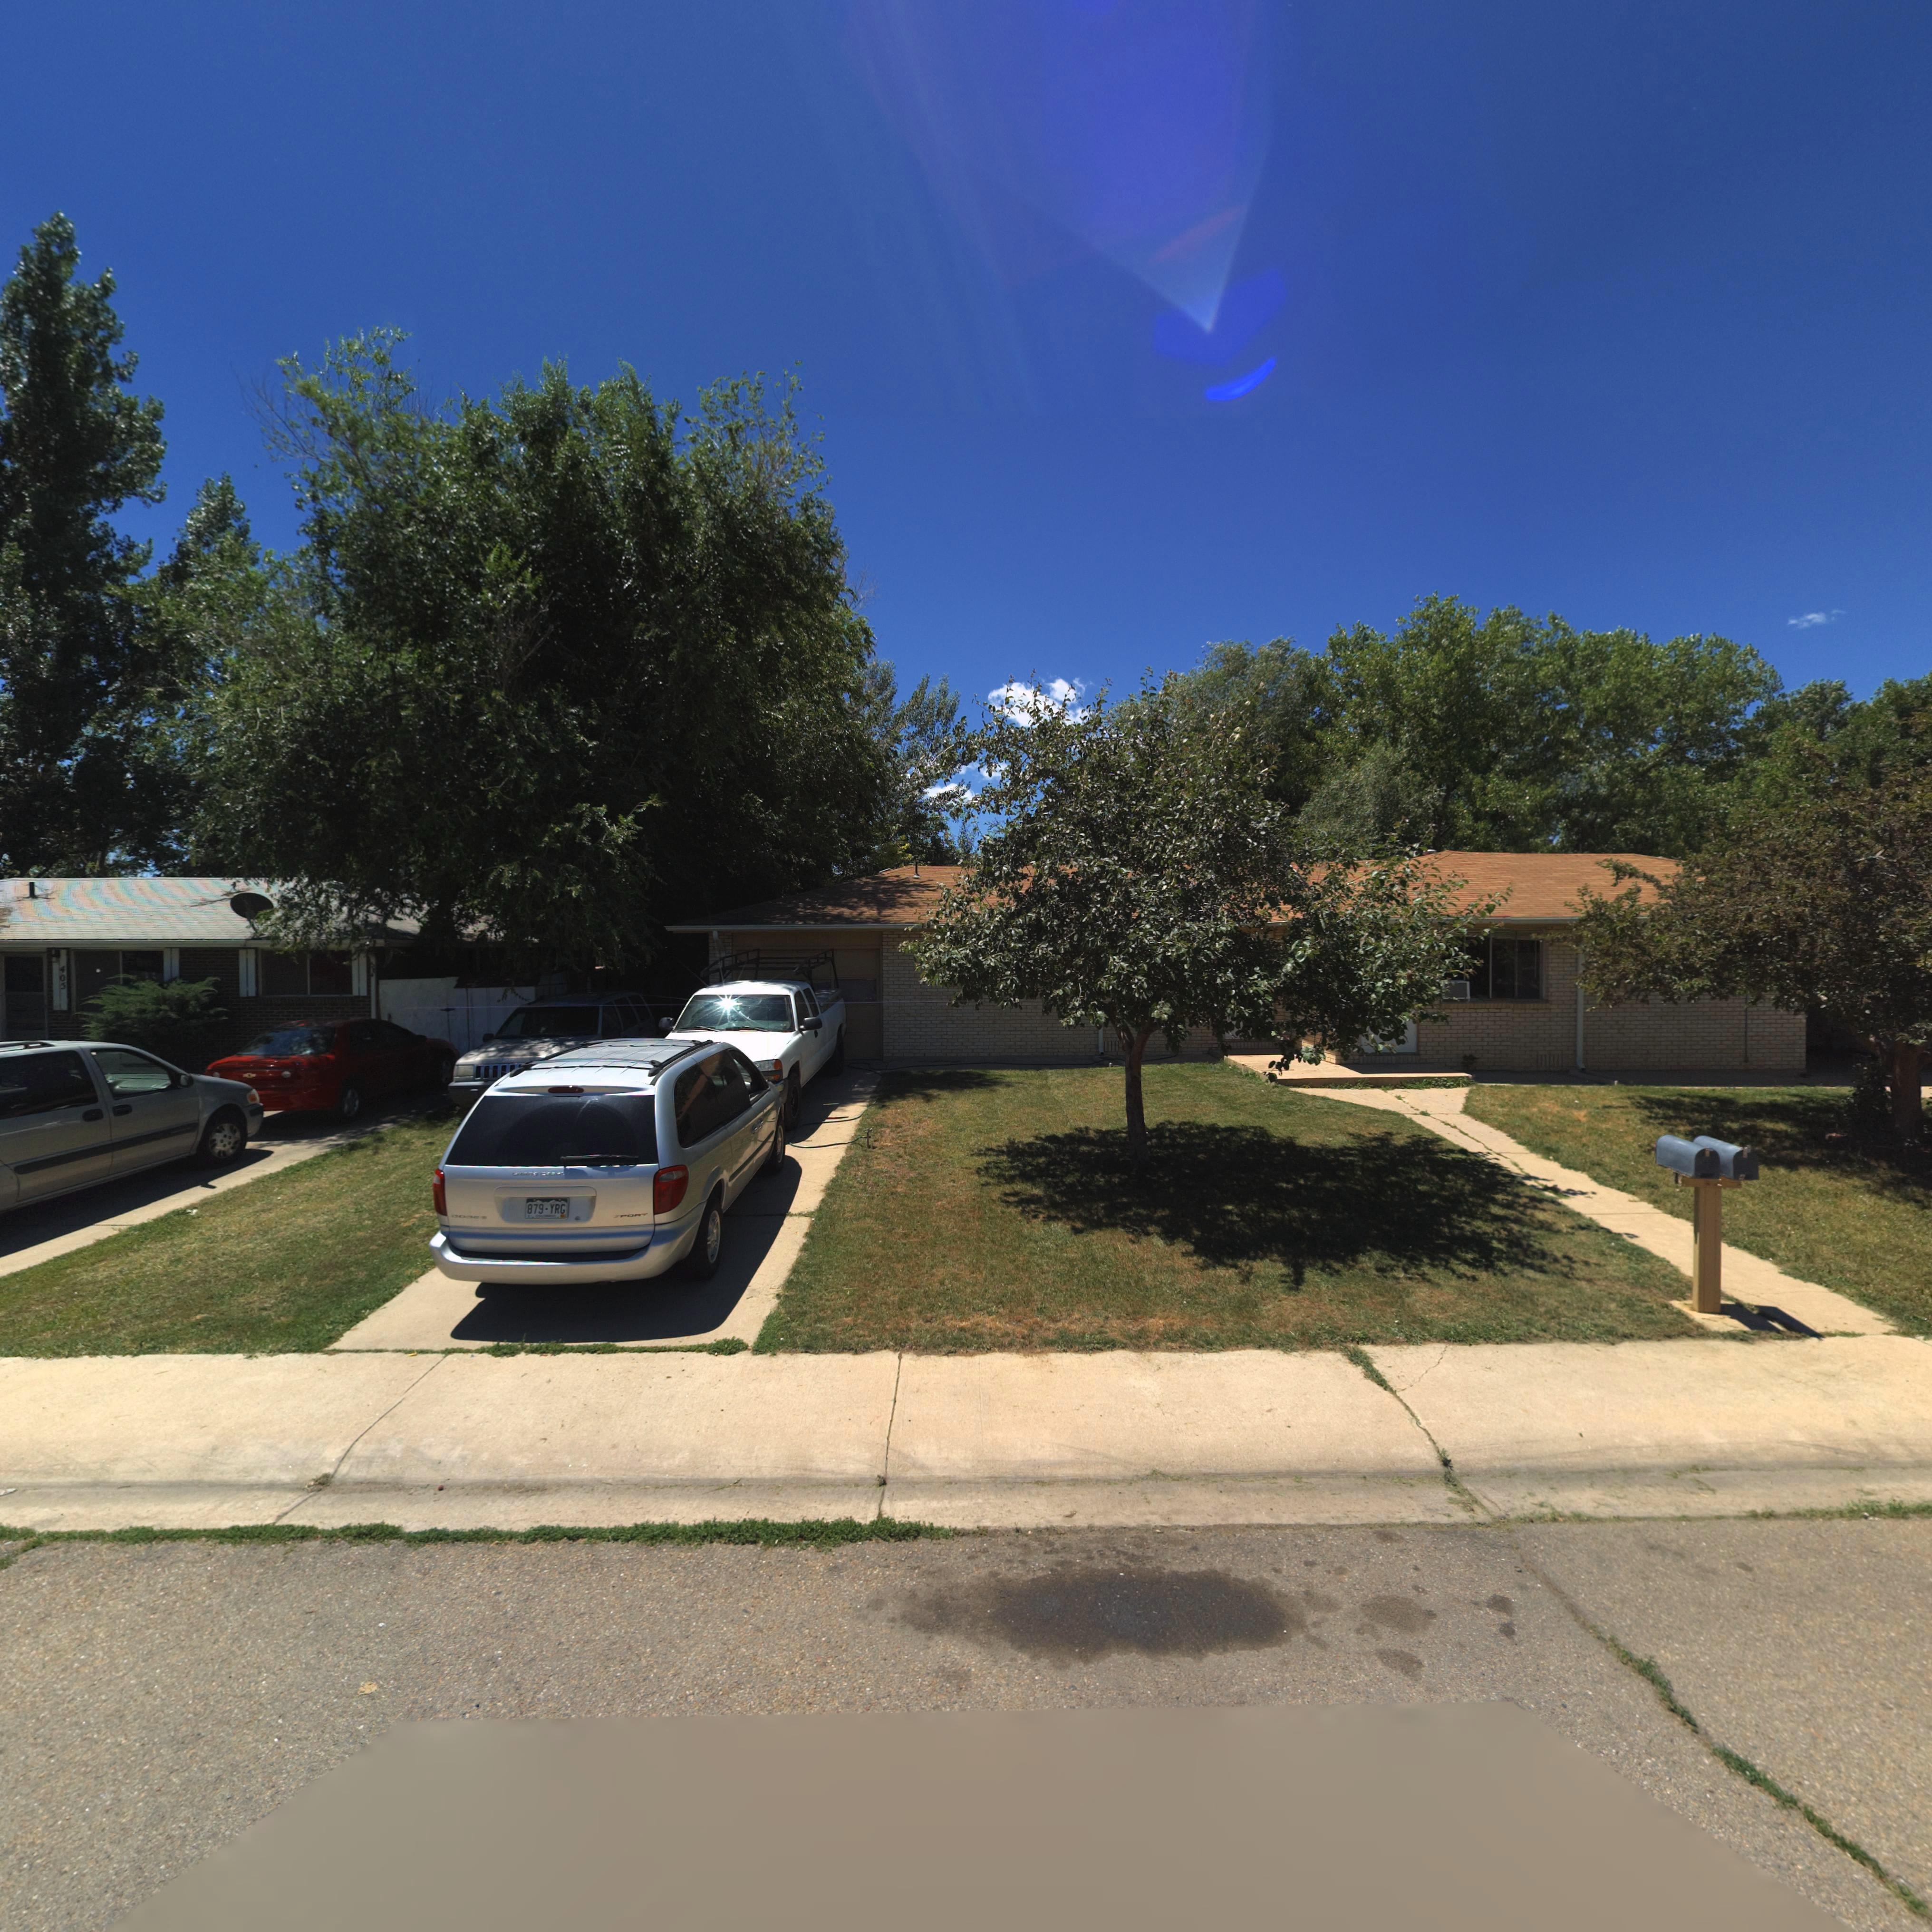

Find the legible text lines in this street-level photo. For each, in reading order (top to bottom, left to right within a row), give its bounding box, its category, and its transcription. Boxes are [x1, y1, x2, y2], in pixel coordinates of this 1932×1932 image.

[58, 965, 67, 990] StreetNumber: 405